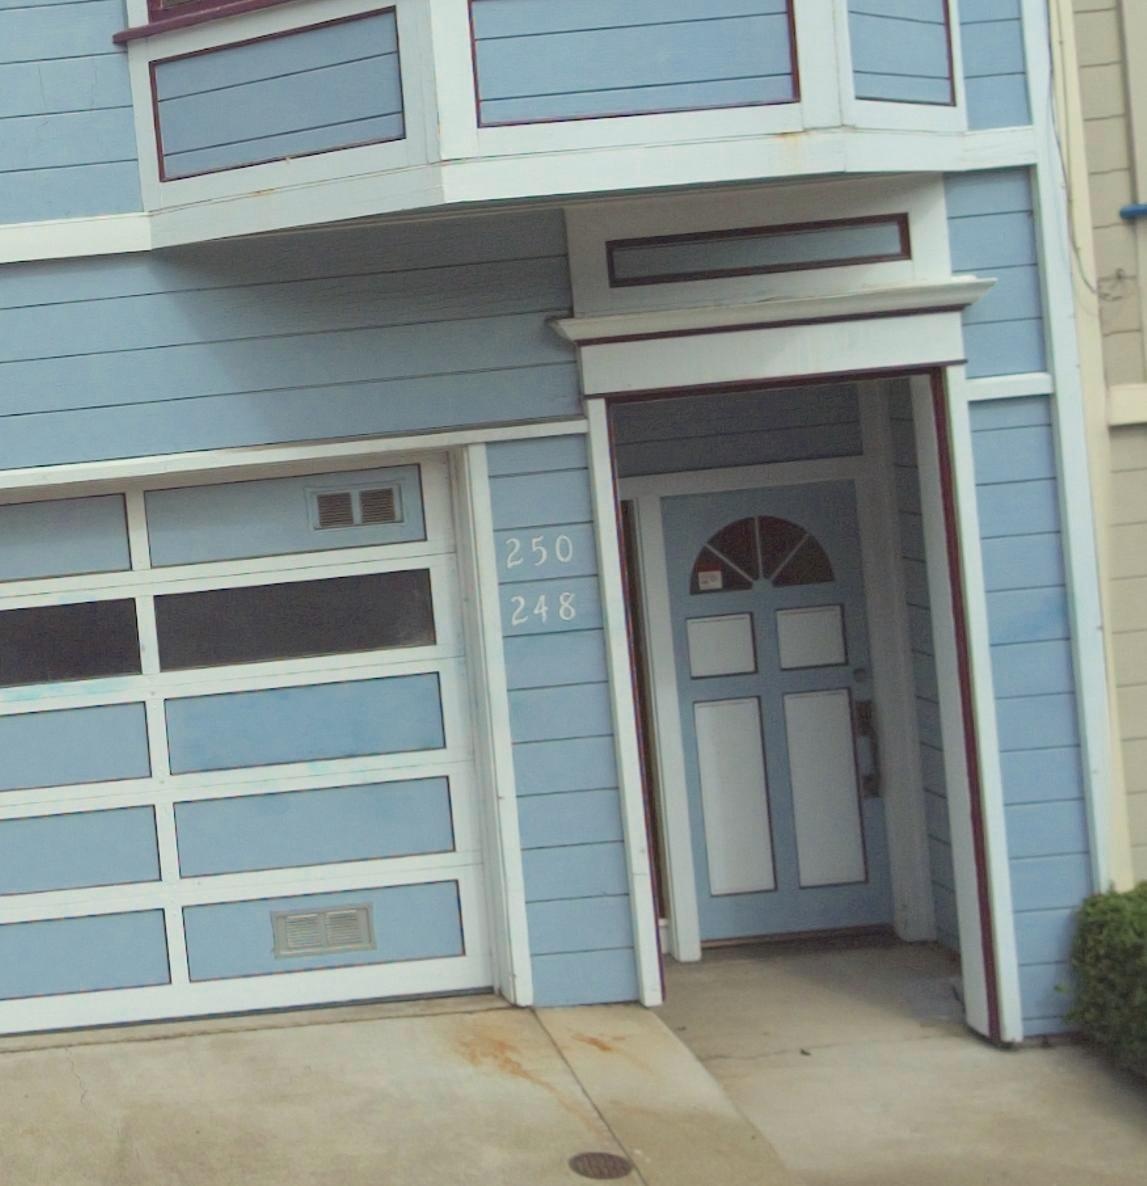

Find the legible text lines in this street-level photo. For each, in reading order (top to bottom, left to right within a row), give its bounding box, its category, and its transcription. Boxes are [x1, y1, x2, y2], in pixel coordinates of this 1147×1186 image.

[502, 529, 578, 573] StreetNumber: 250
[506, 588, 580, 629] StreetNumber: 248